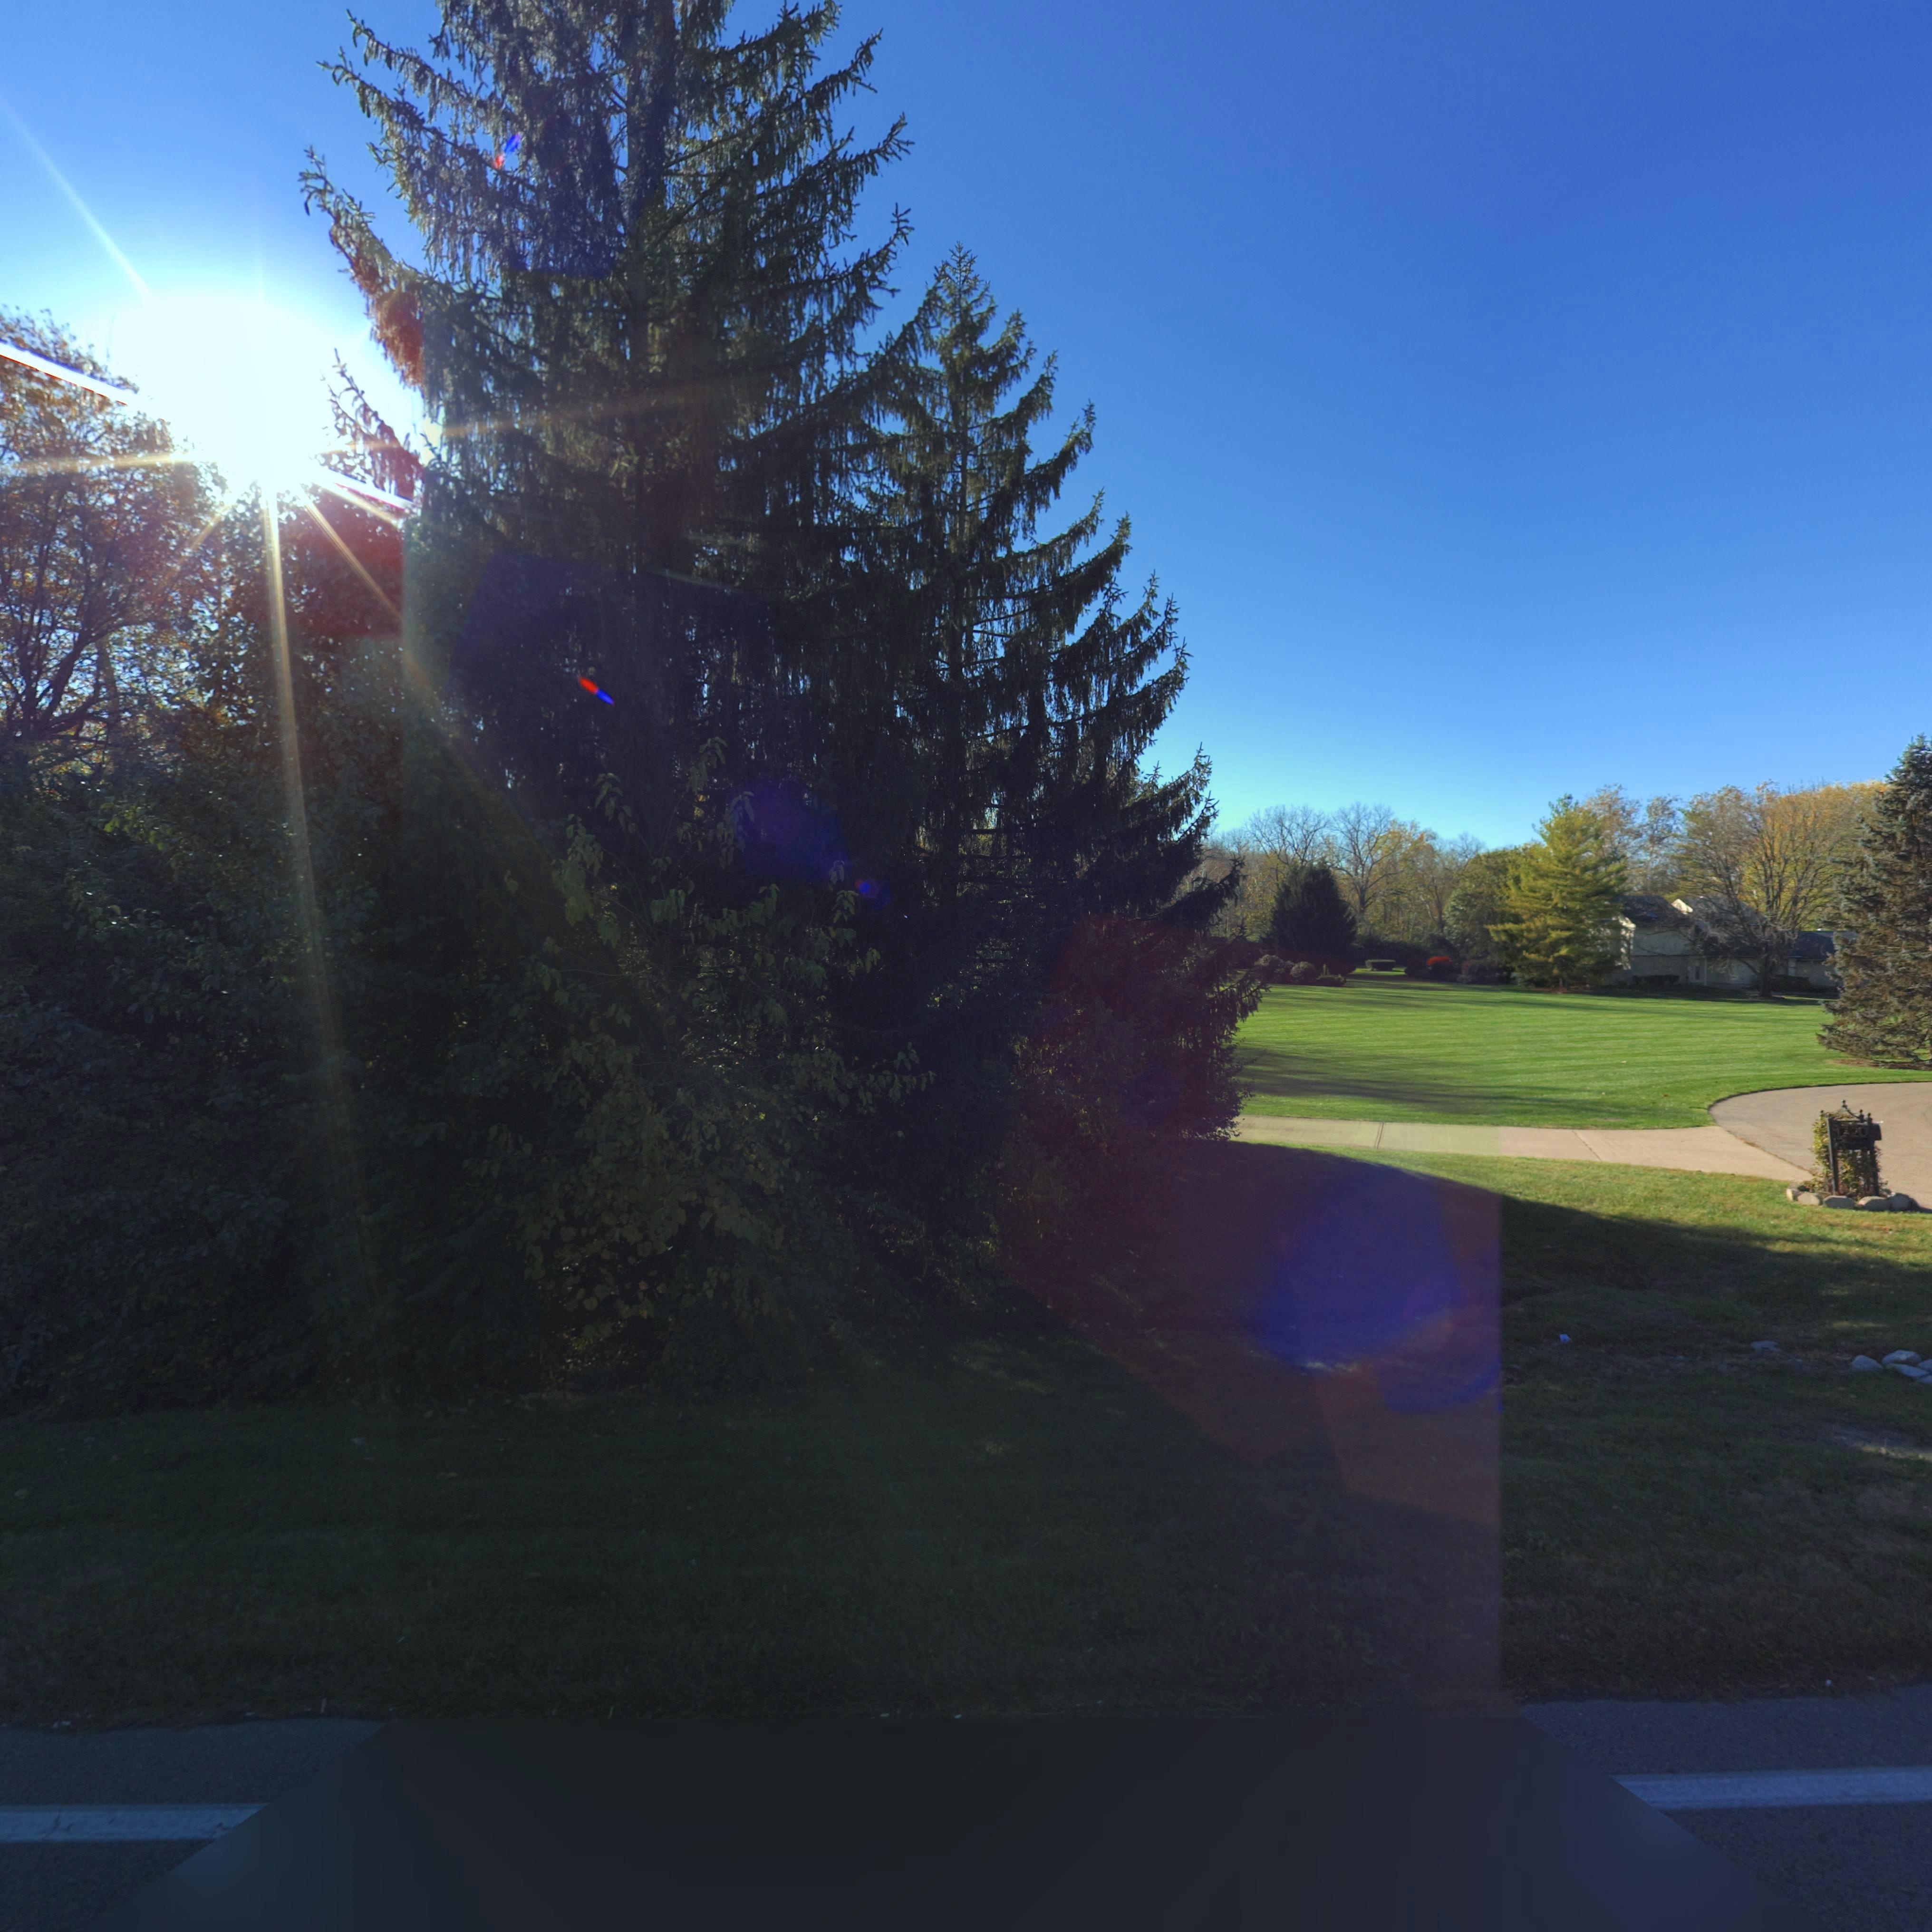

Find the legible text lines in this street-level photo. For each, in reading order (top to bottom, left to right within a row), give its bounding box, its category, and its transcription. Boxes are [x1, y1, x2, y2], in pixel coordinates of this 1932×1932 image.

[1831, 1124, 1869, 1140] StreetNumber: **20